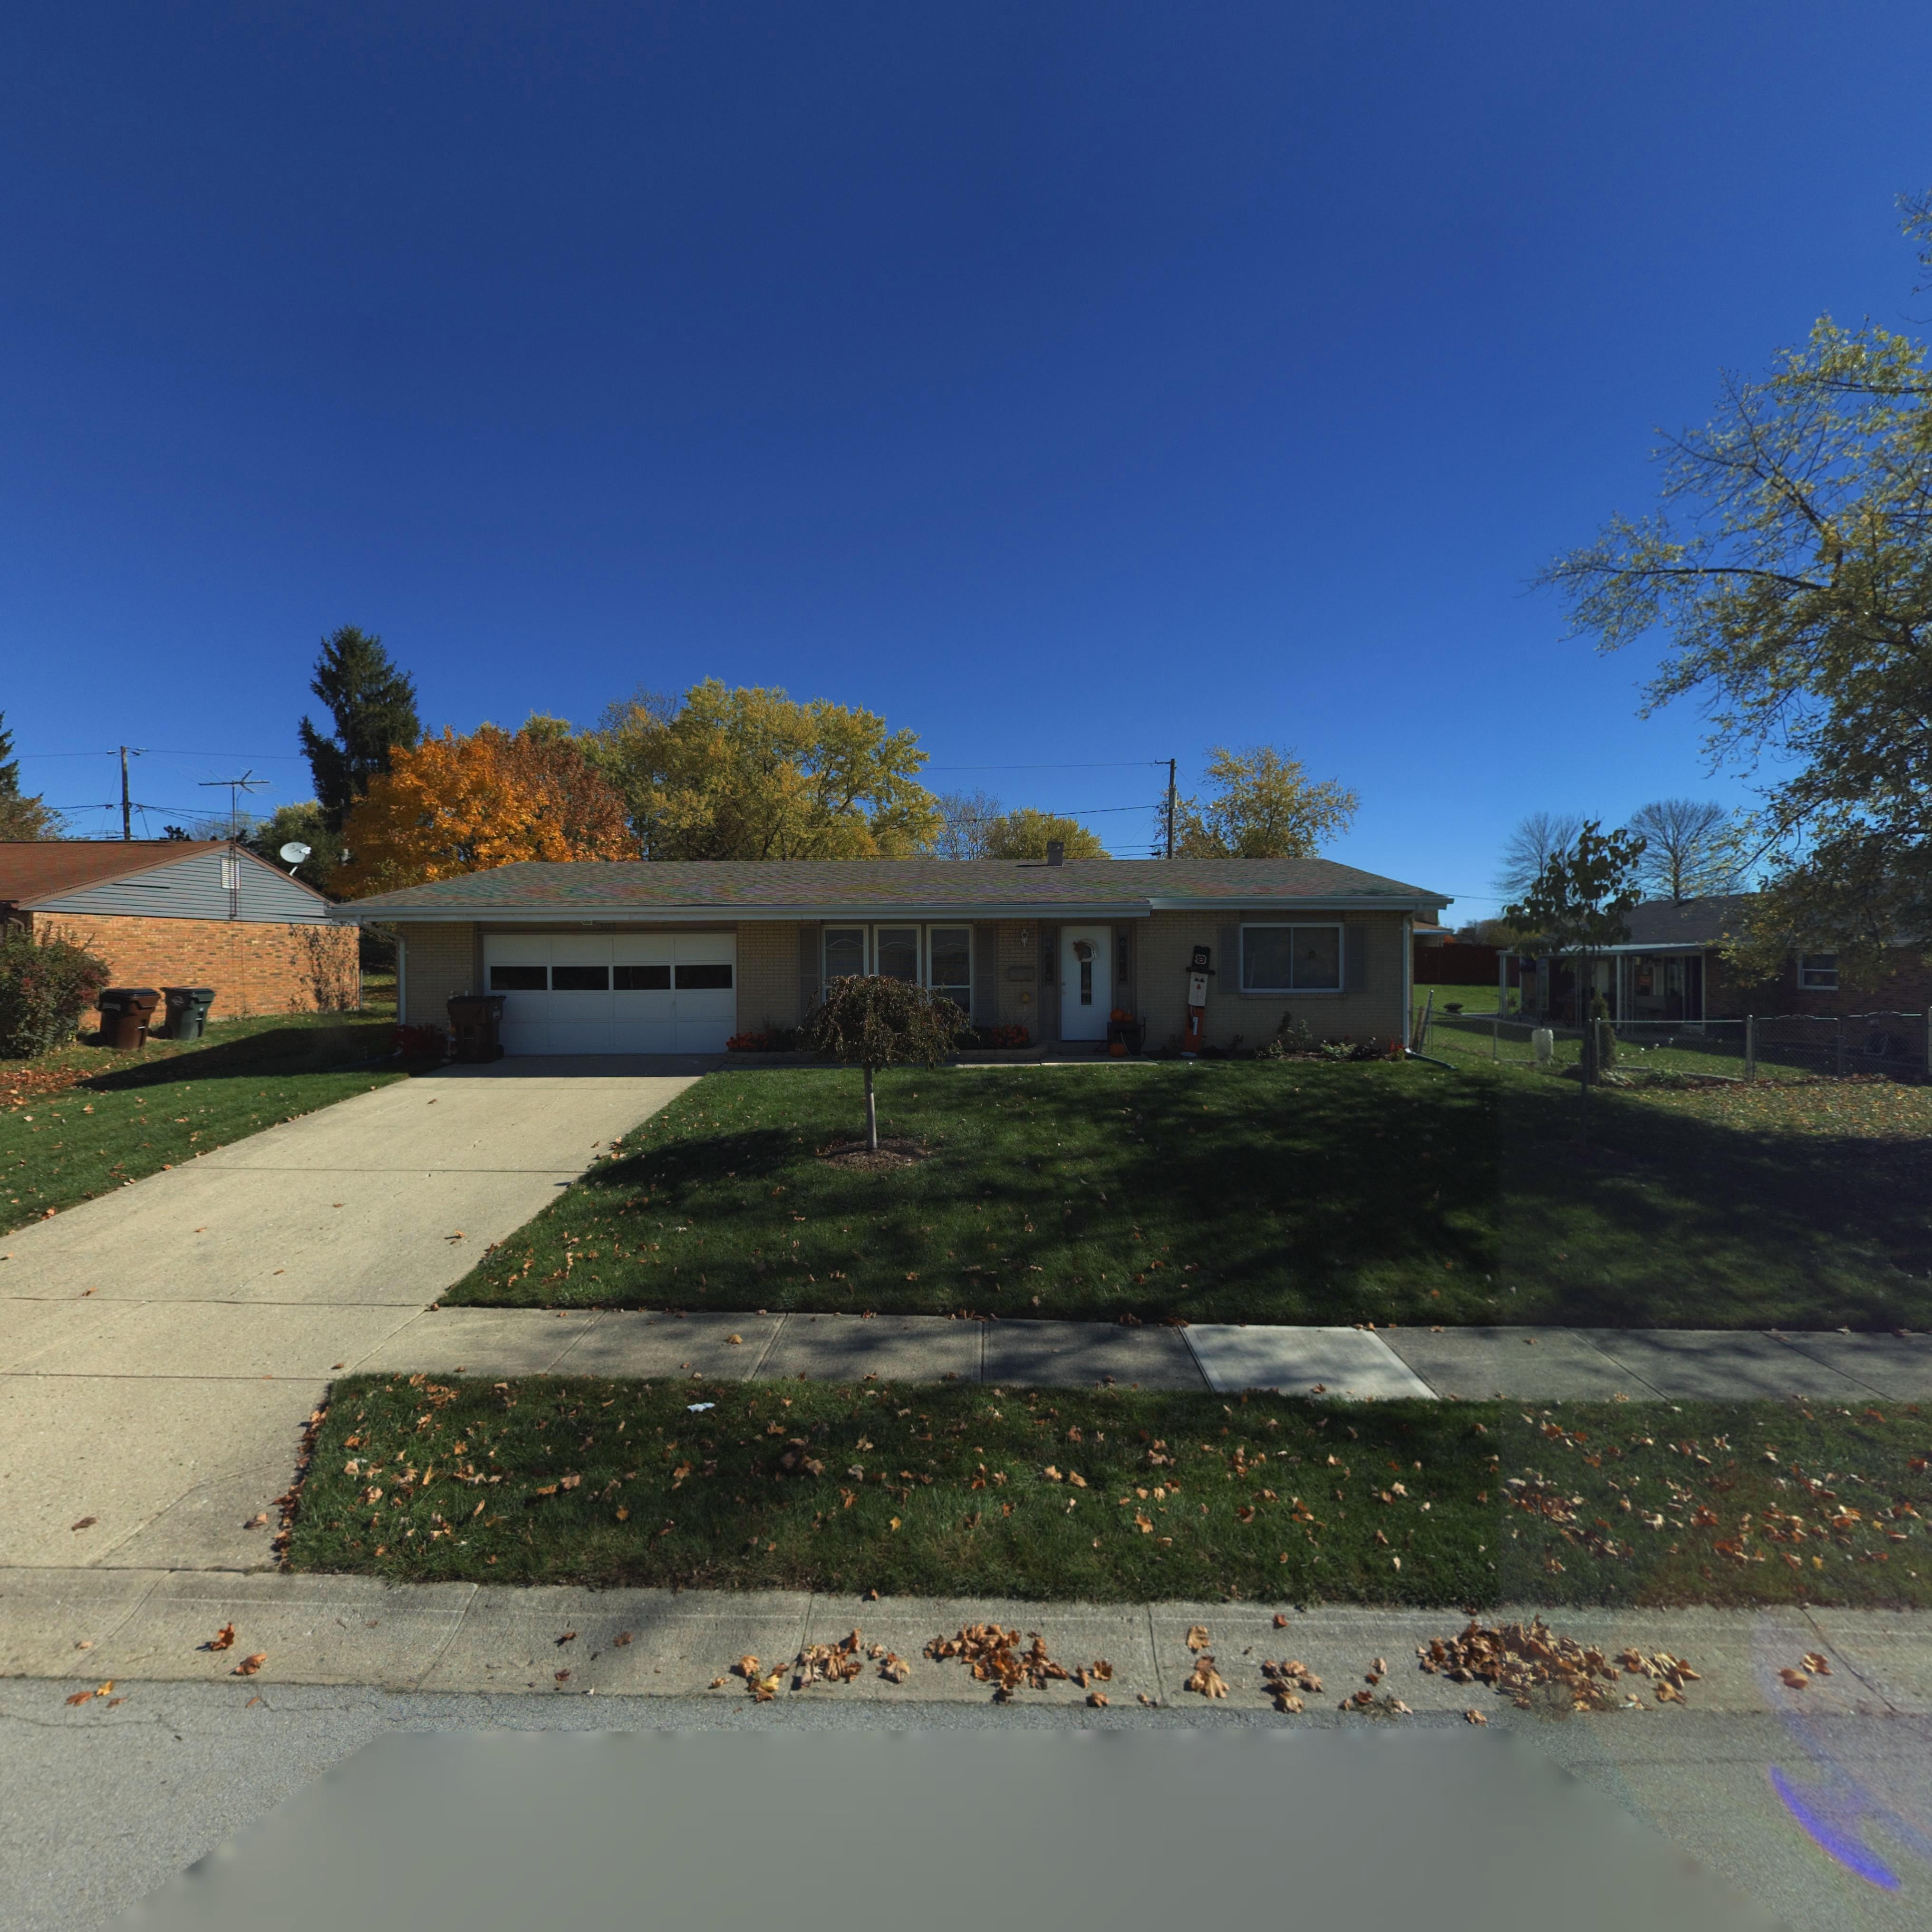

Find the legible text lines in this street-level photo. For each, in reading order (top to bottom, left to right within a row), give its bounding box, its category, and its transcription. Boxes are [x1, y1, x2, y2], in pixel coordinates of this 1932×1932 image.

[598, 922, 617, 931] StreetNumber: 303